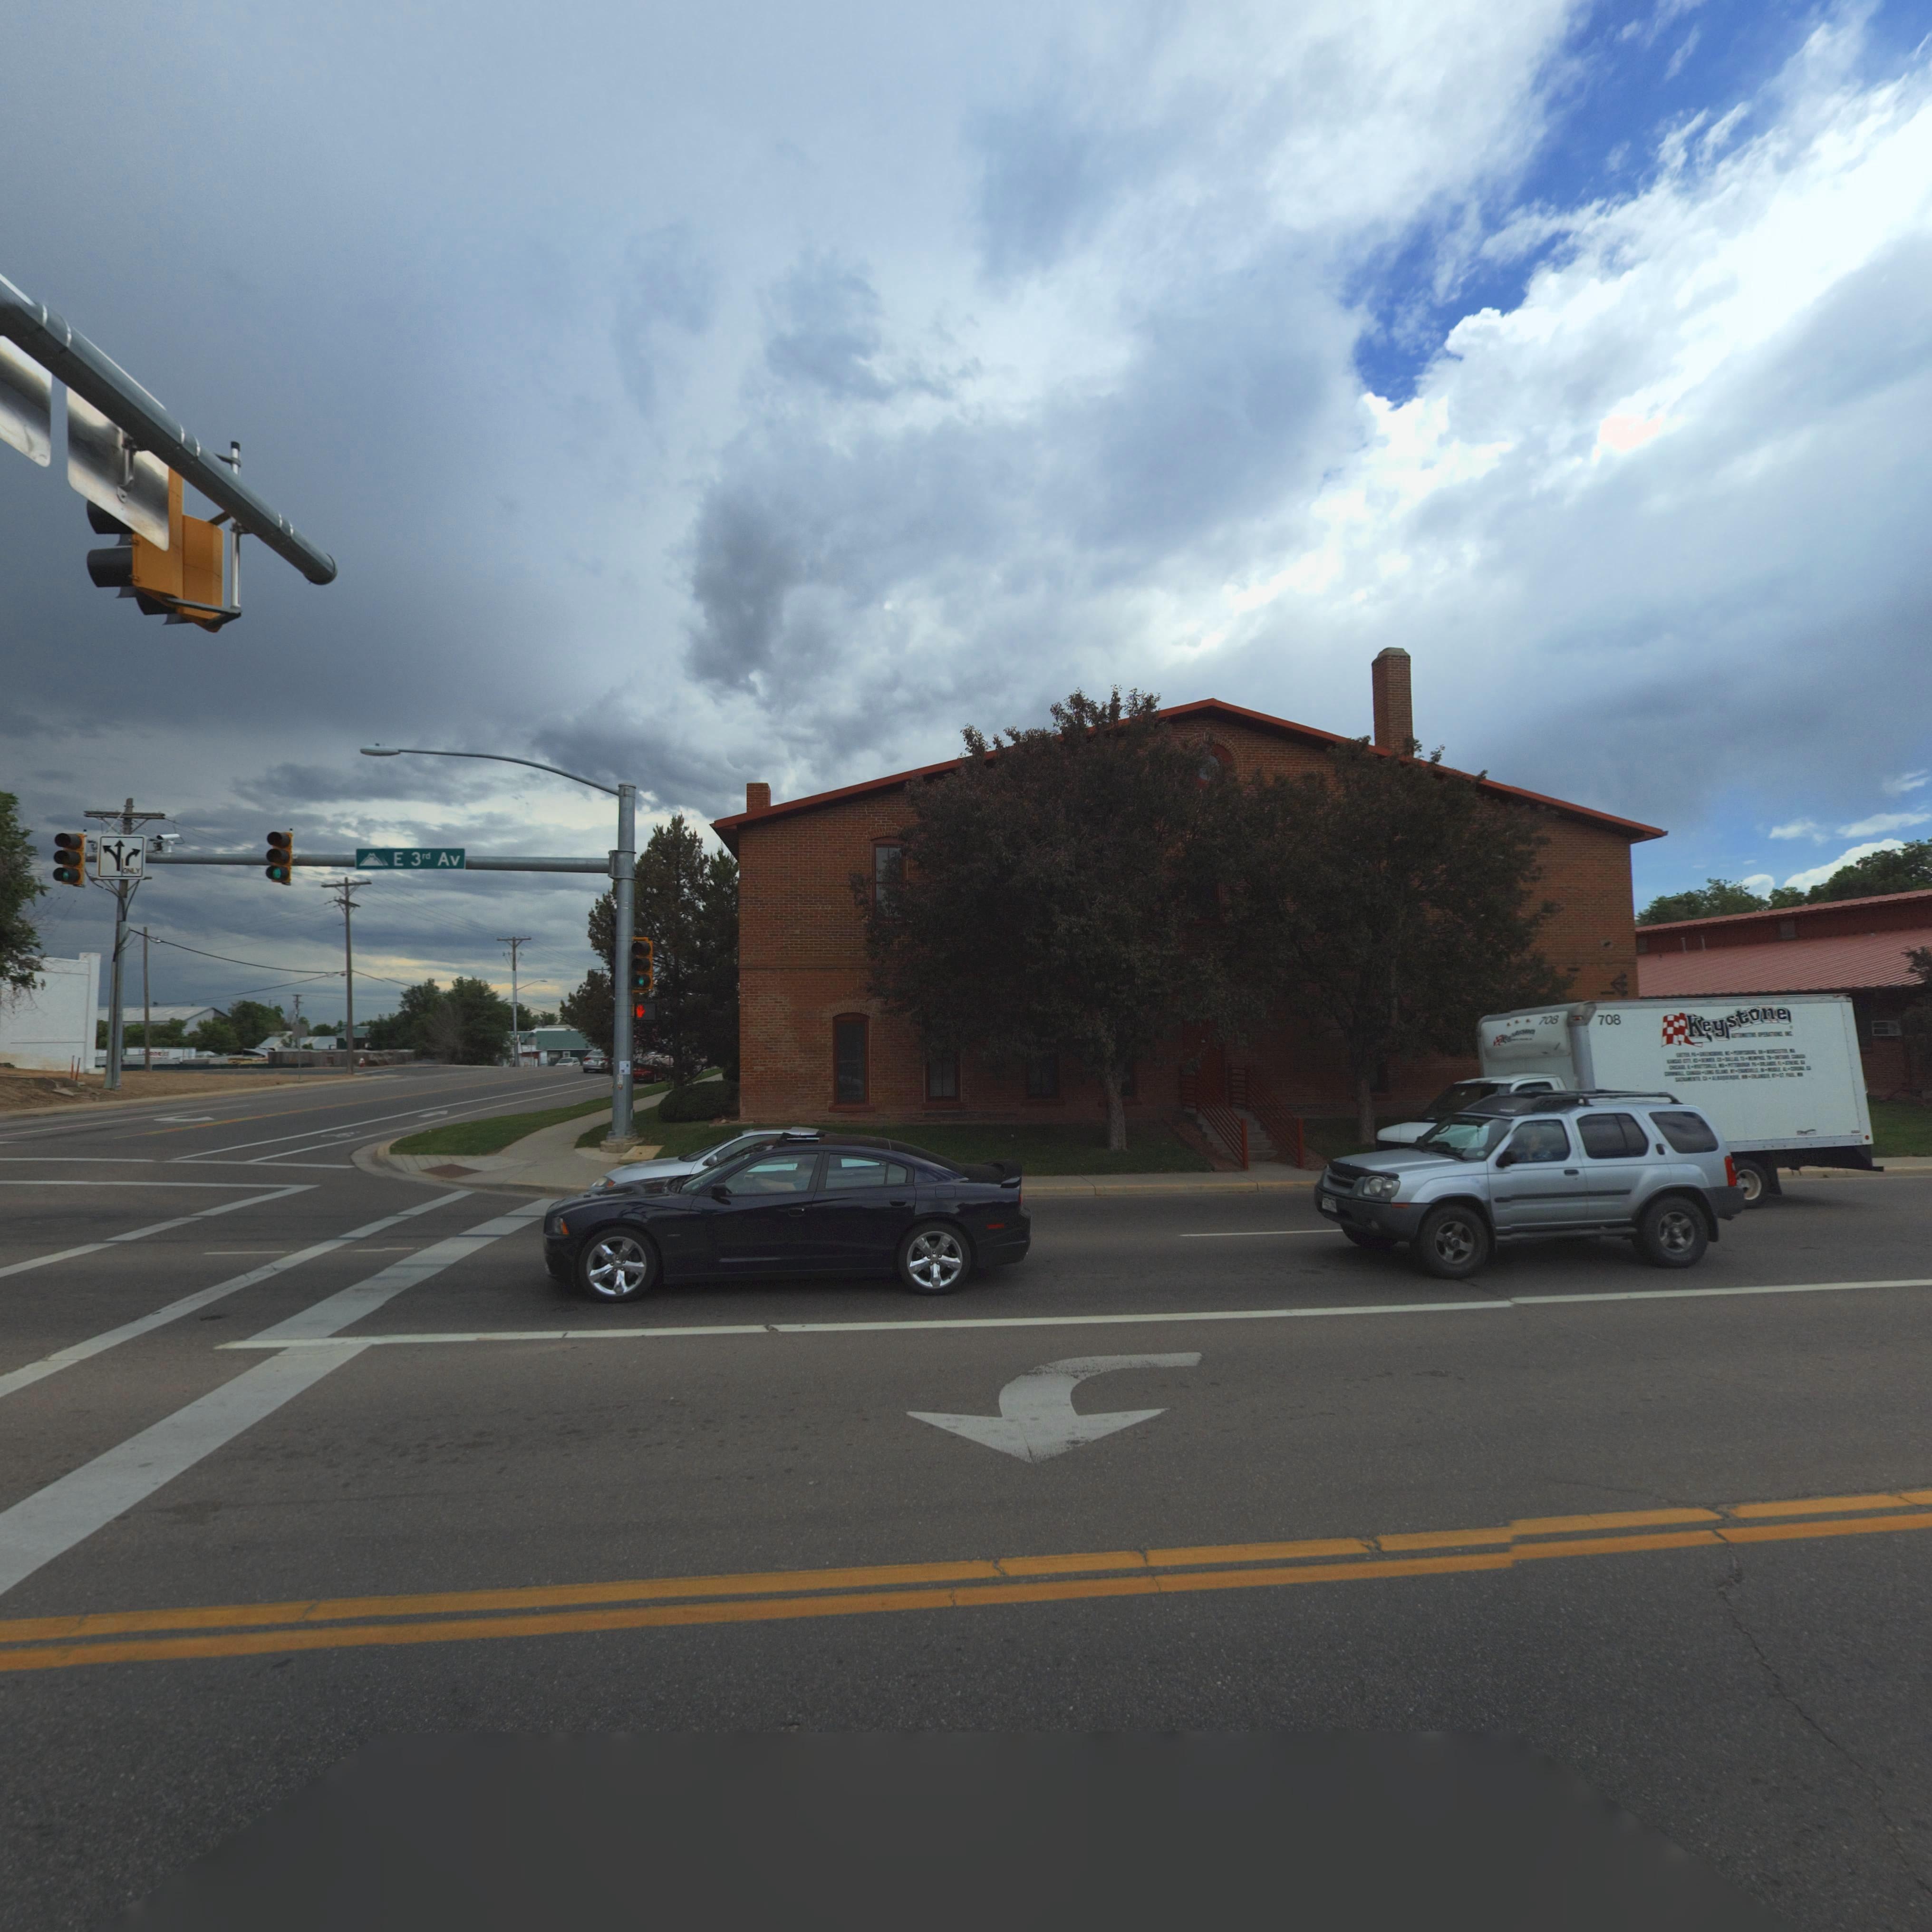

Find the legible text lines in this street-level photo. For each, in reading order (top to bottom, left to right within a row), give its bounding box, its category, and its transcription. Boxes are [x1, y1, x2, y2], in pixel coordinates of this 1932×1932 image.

[393, 851, 461, 866] StreetName: E 3rd Av